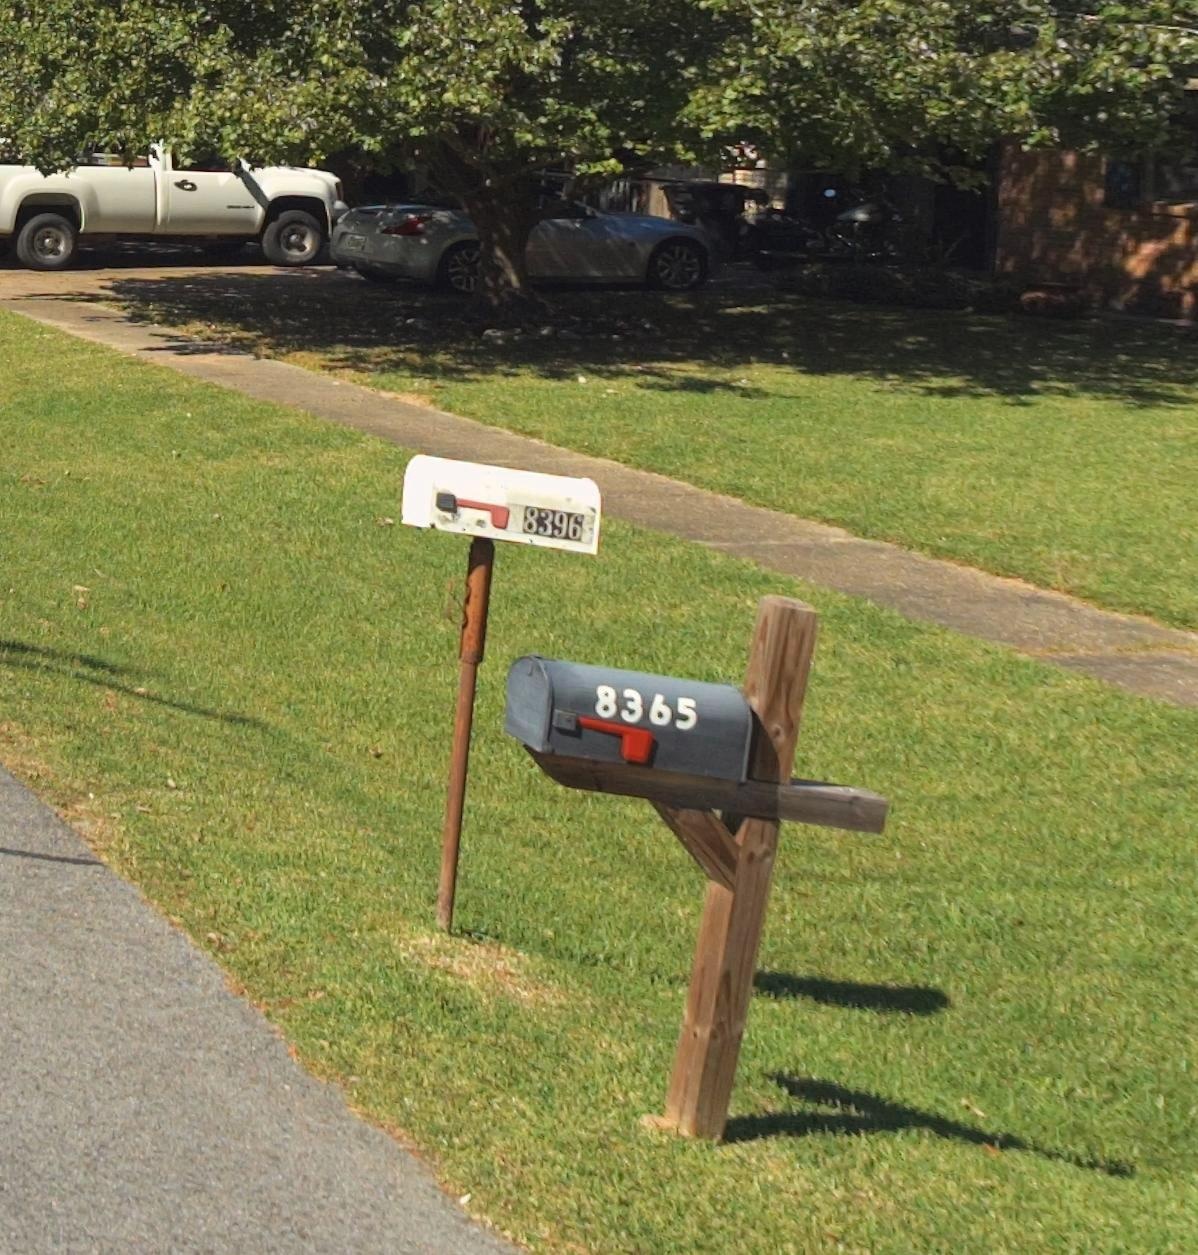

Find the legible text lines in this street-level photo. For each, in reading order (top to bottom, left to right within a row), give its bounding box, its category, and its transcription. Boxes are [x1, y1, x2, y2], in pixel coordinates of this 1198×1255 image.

[521, 505, 585, 543] StreetNumber: 8396
[591, 680, 701, 735] StreetNumber: 8365